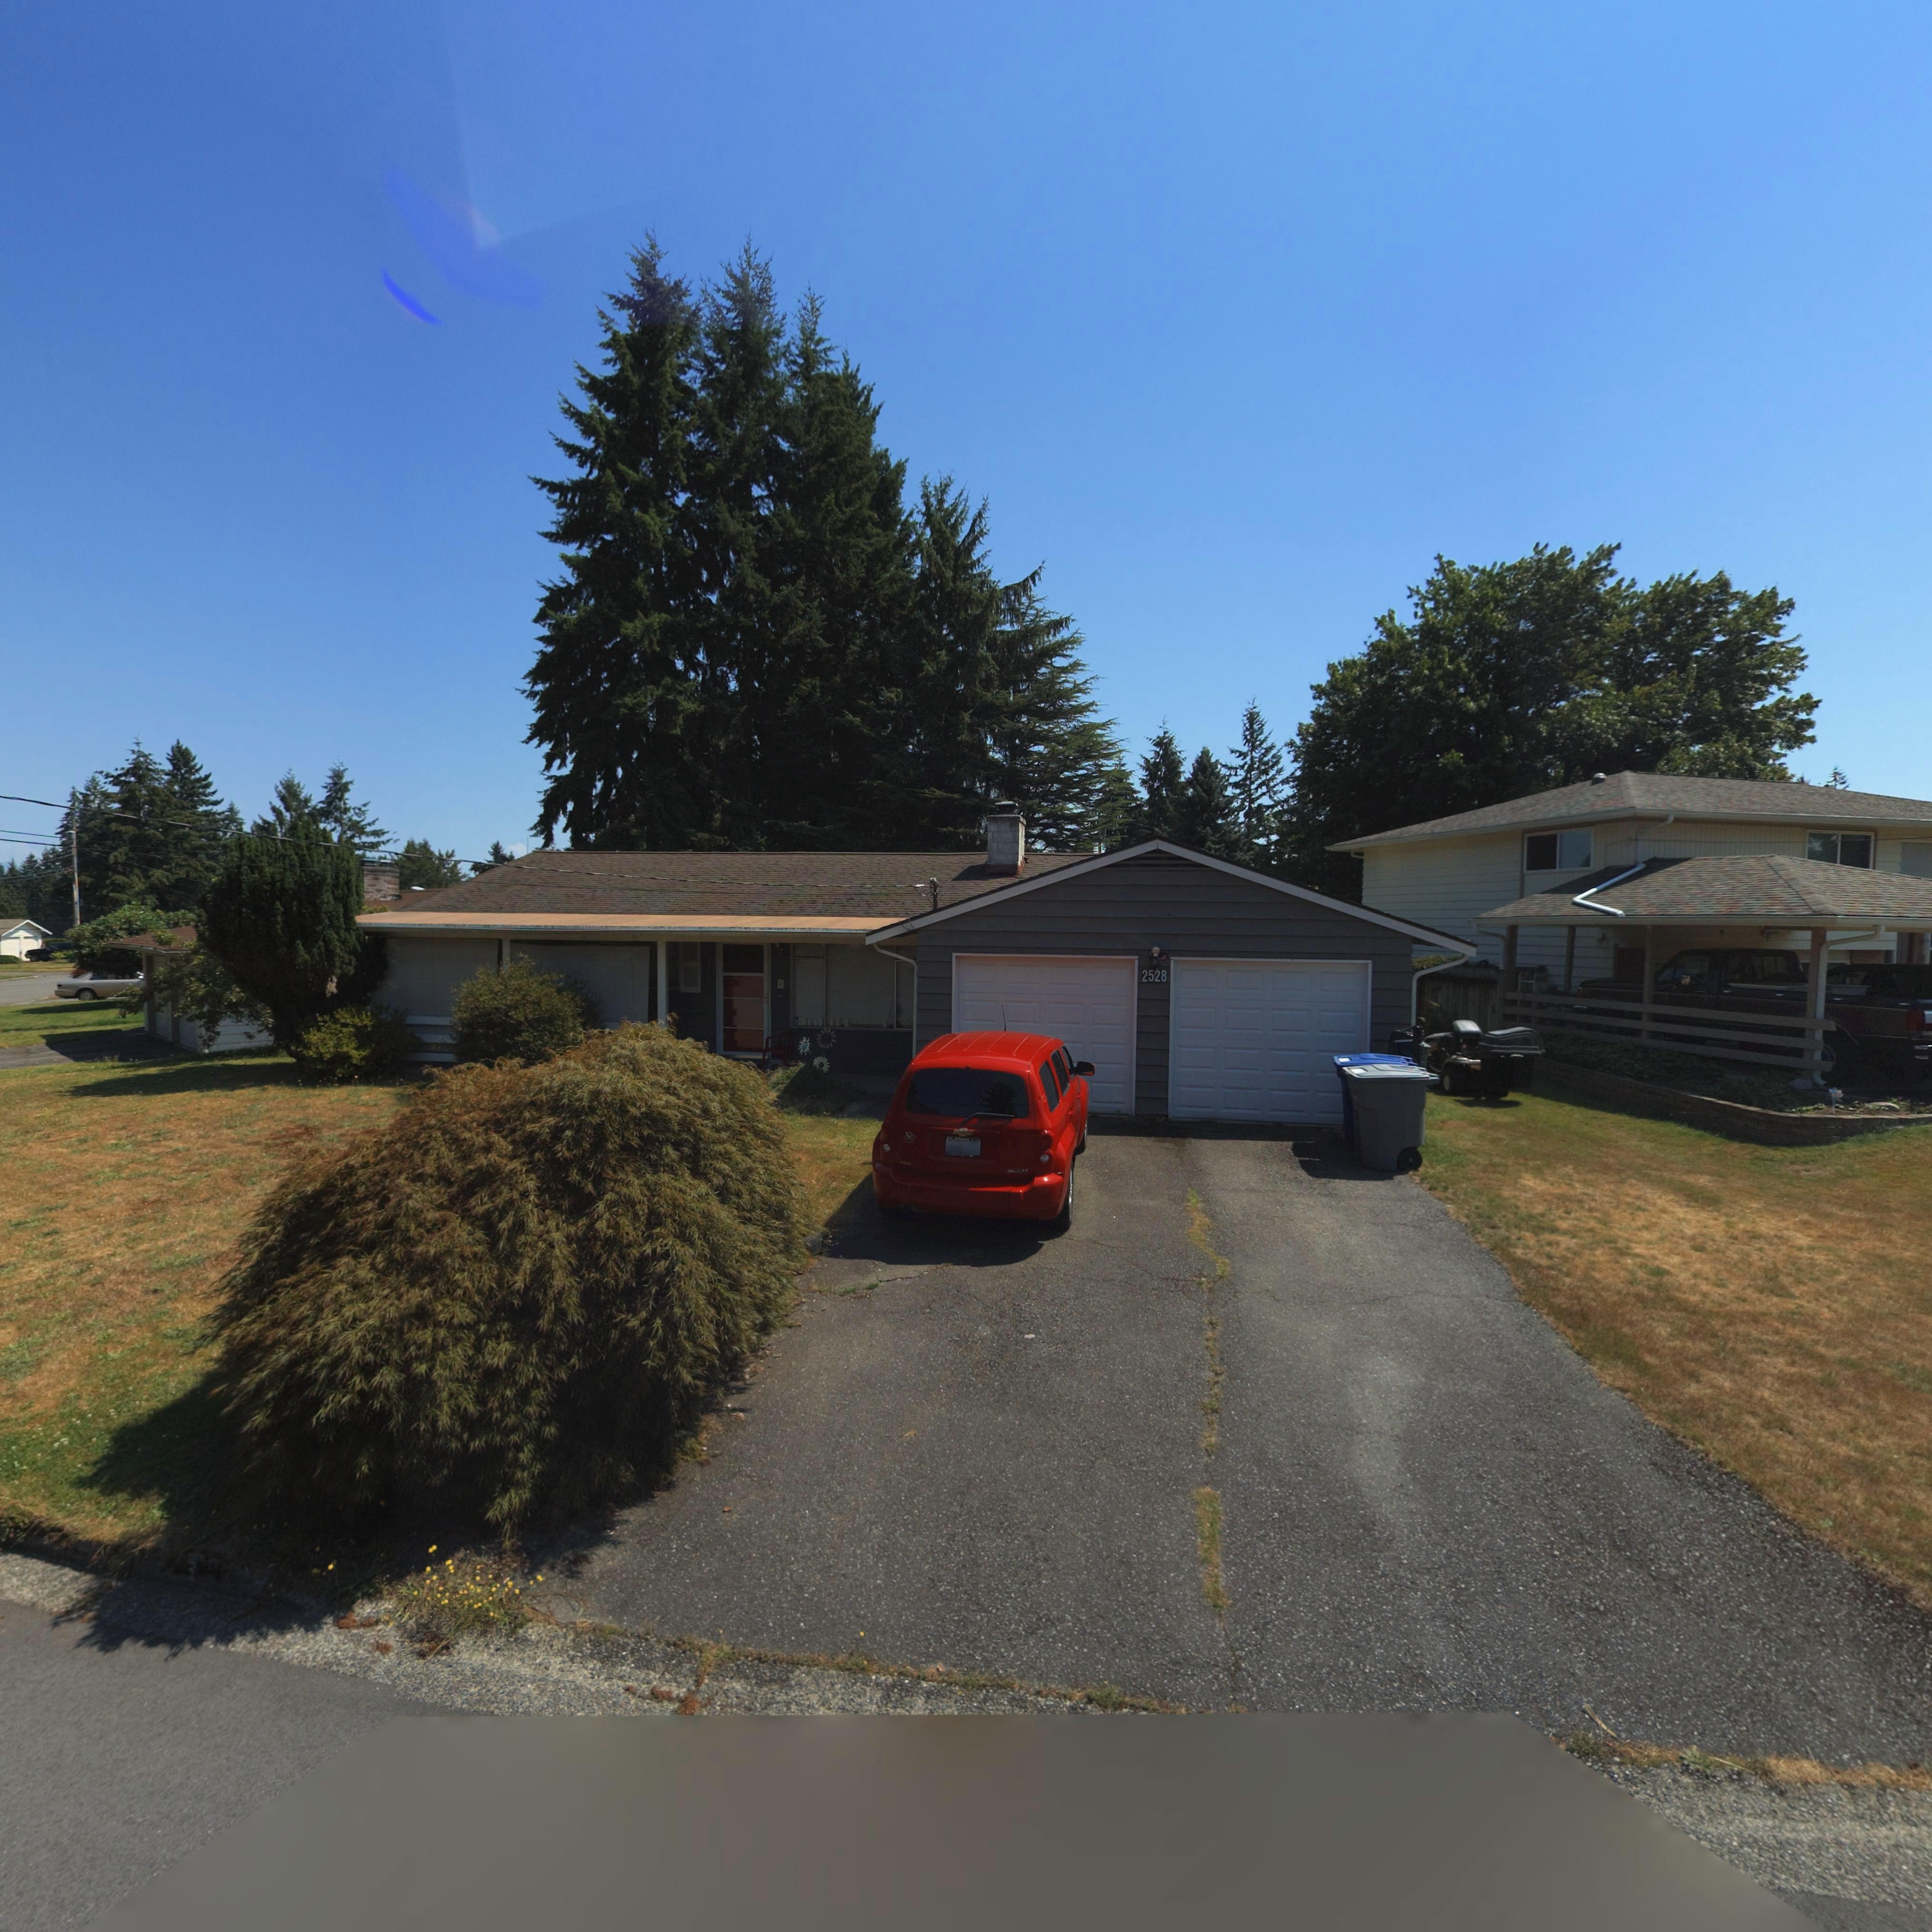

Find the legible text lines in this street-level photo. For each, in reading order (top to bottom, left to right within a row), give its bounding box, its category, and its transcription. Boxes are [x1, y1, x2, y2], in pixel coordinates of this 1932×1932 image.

[1141, 968, 1167, 982] StreetNumber: 2528